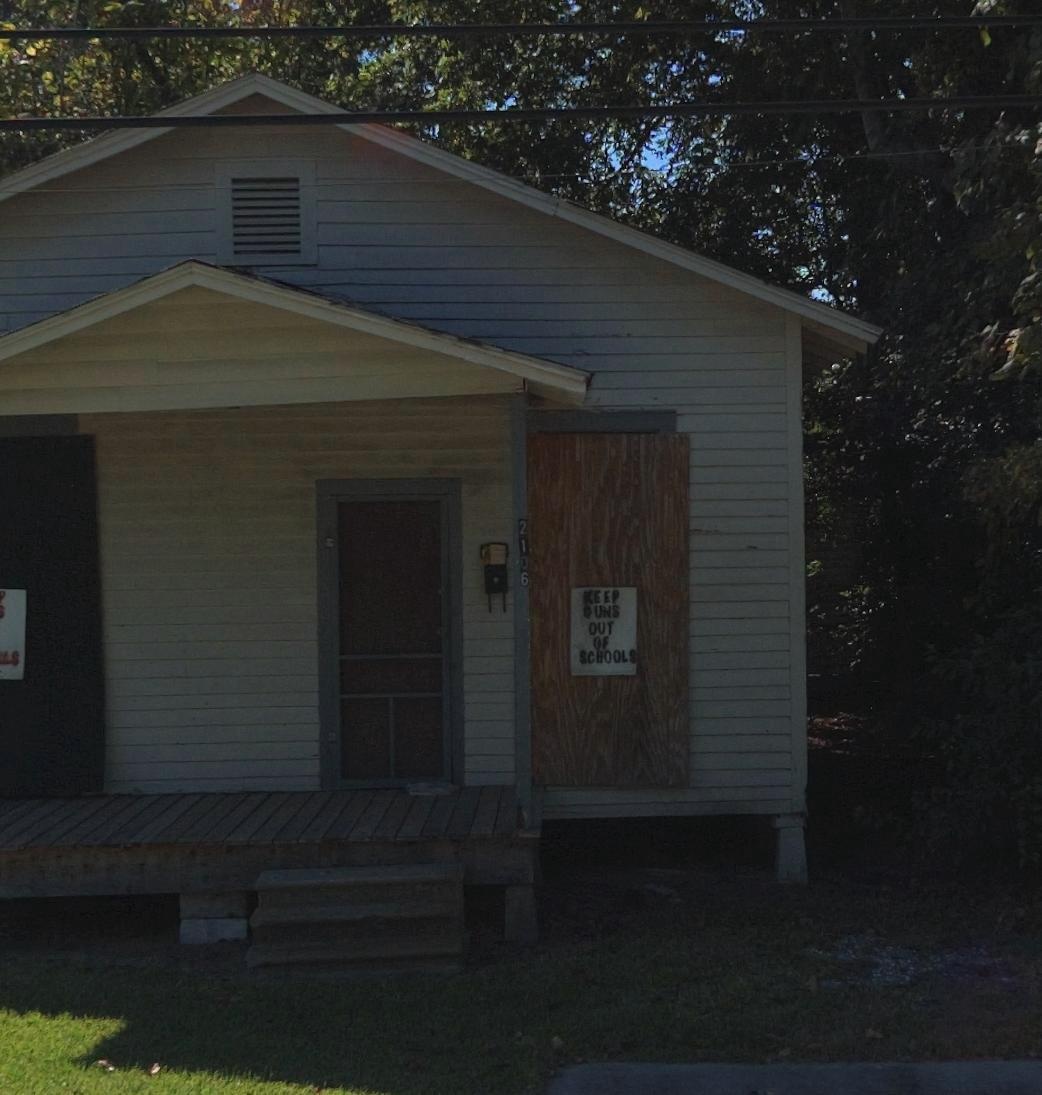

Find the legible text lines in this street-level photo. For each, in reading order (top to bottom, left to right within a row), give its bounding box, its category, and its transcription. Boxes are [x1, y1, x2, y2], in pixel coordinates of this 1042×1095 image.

[517, 519, 531, 589] StreetNumber: 2106
[581, 586, 623, 608] None: KEEP
[591, 603, 623, 620] None: UNS
[586, 619, 616, 638] None: OUT
[591, 634, 612, 651] None: OF
[9, 648, 23, 668] None: S
[576, 646, 639, 667] None: SCHOOLS